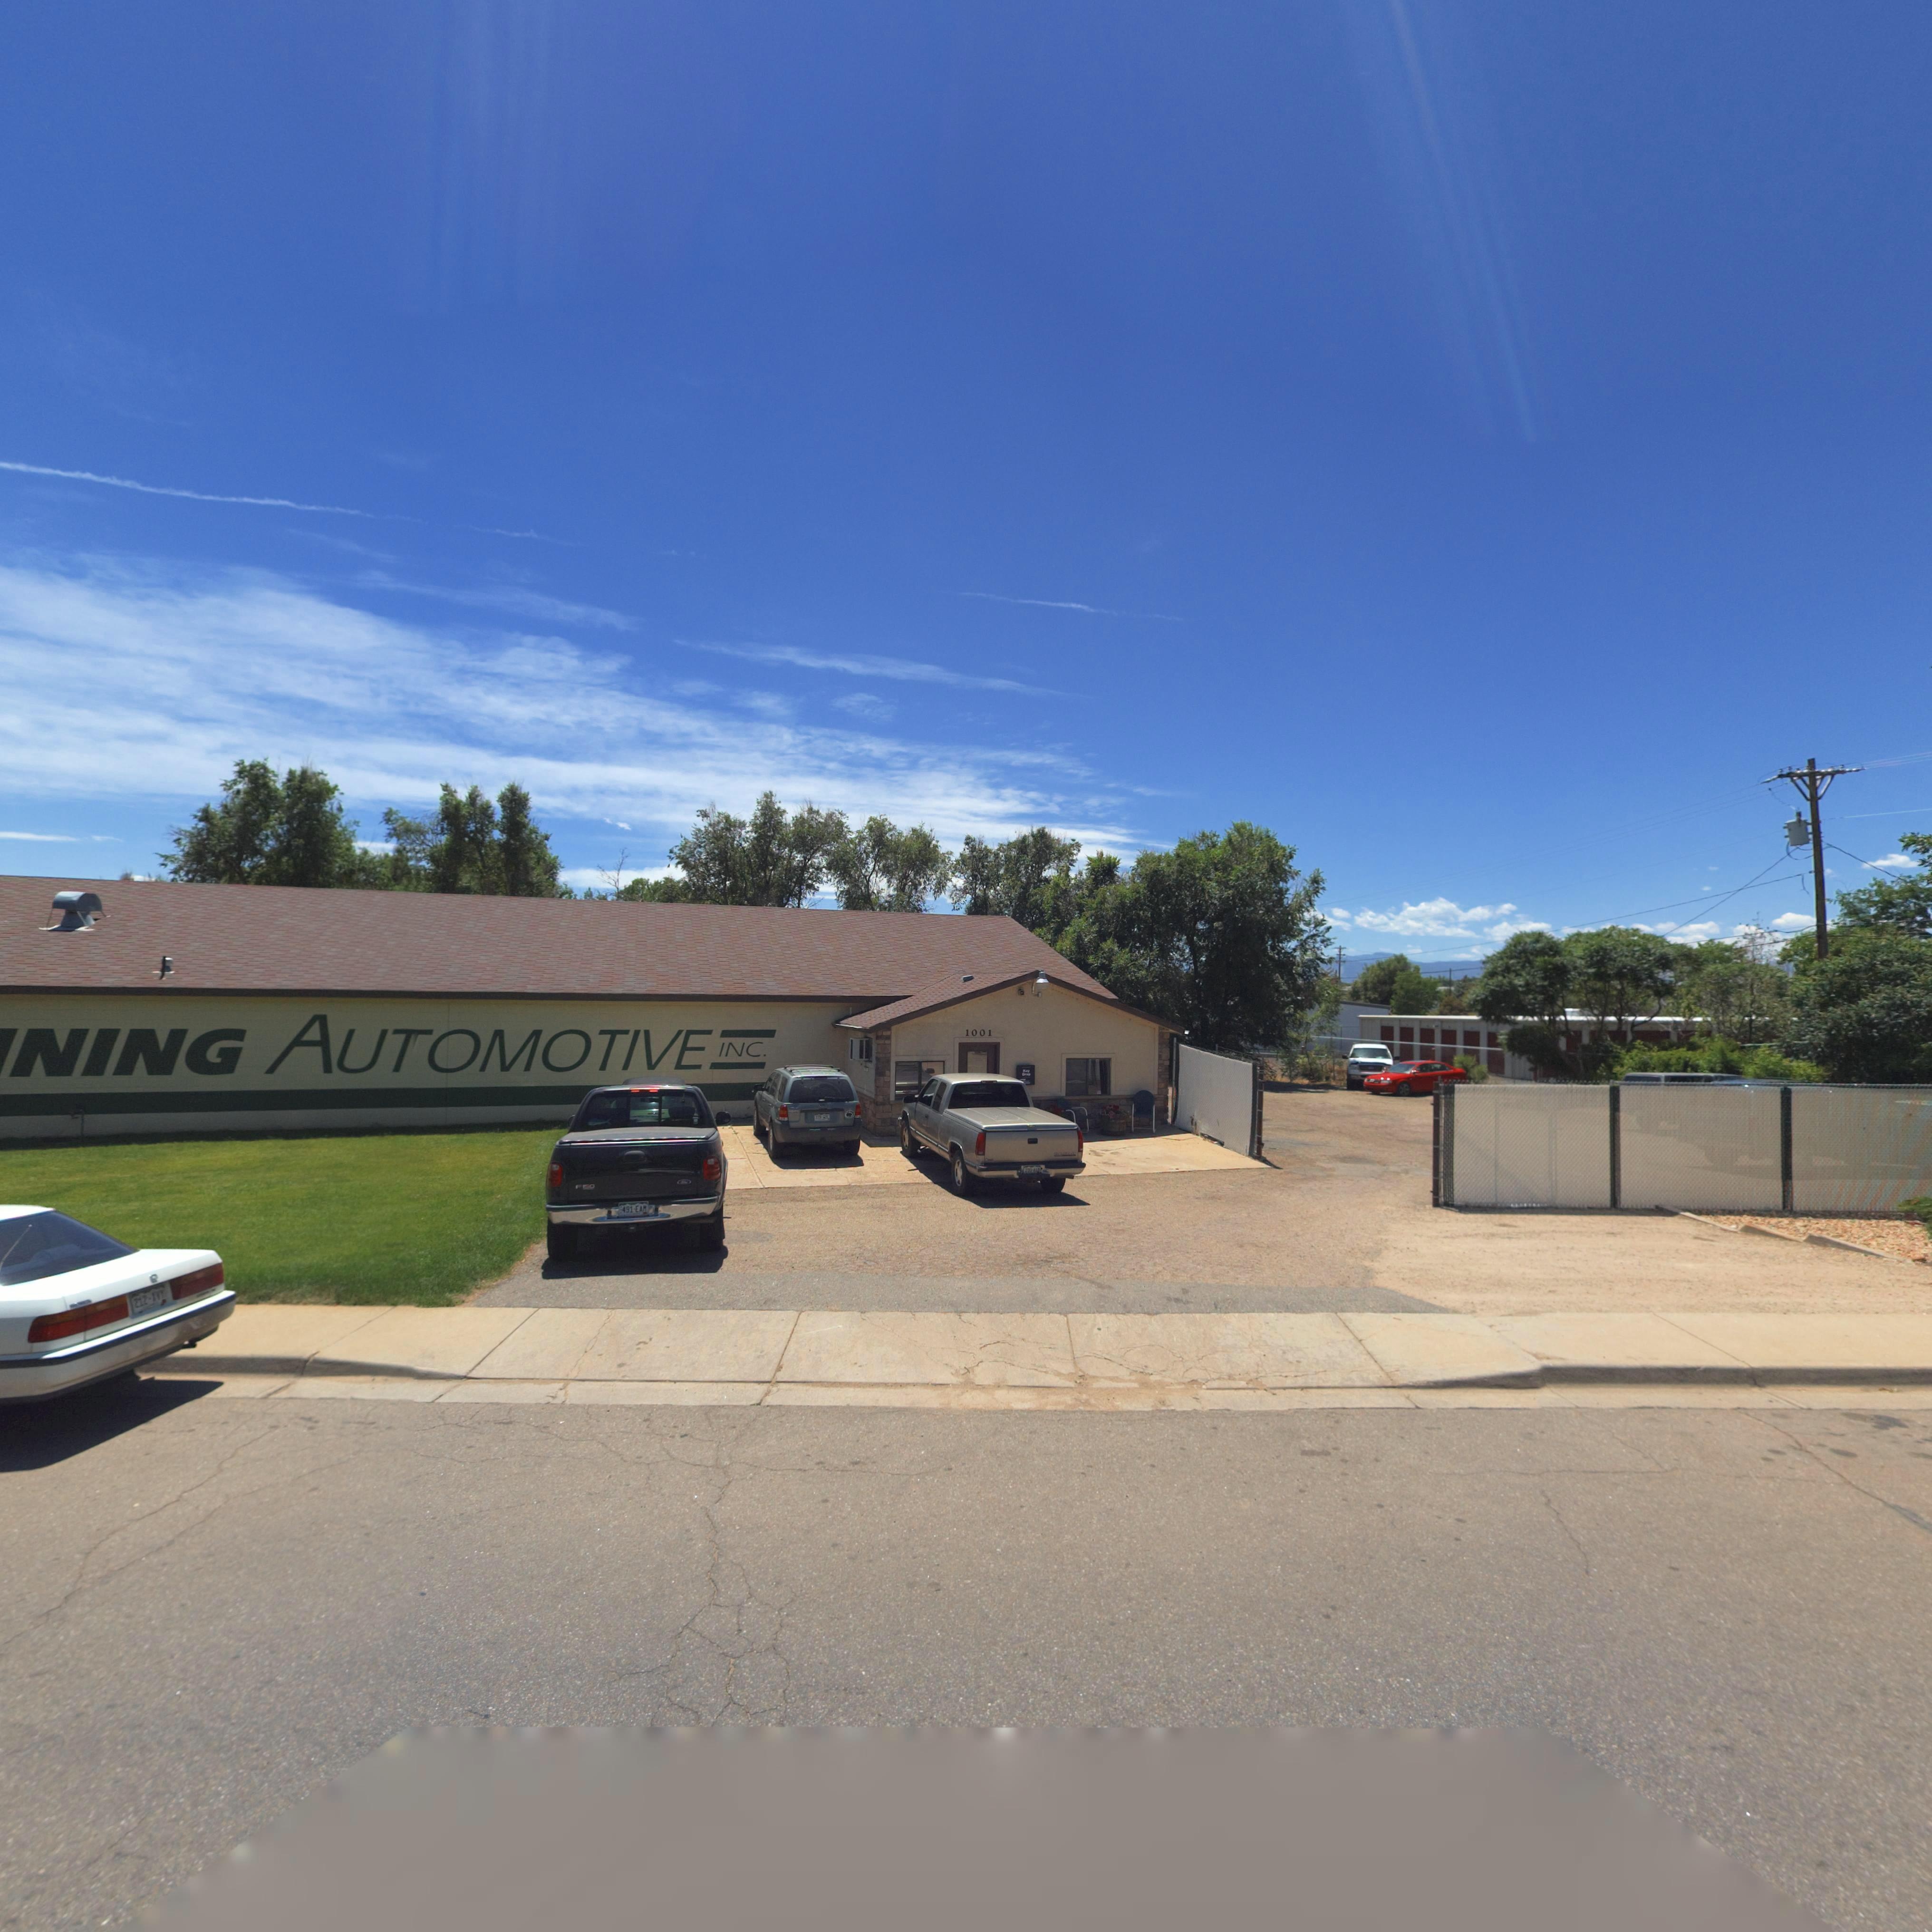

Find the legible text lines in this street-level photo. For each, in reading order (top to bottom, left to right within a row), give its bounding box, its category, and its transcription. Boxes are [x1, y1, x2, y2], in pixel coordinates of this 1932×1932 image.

[7, 1027, 250, 1078] BusinessName: ***NING
[261, 1011, 716, 1074] BusinessName: AUTOMOTIVE
[716, 1041, 767, 1057] BusinessName: INC.
[965, 1029, 992, 1036] StreetNumber: 1001